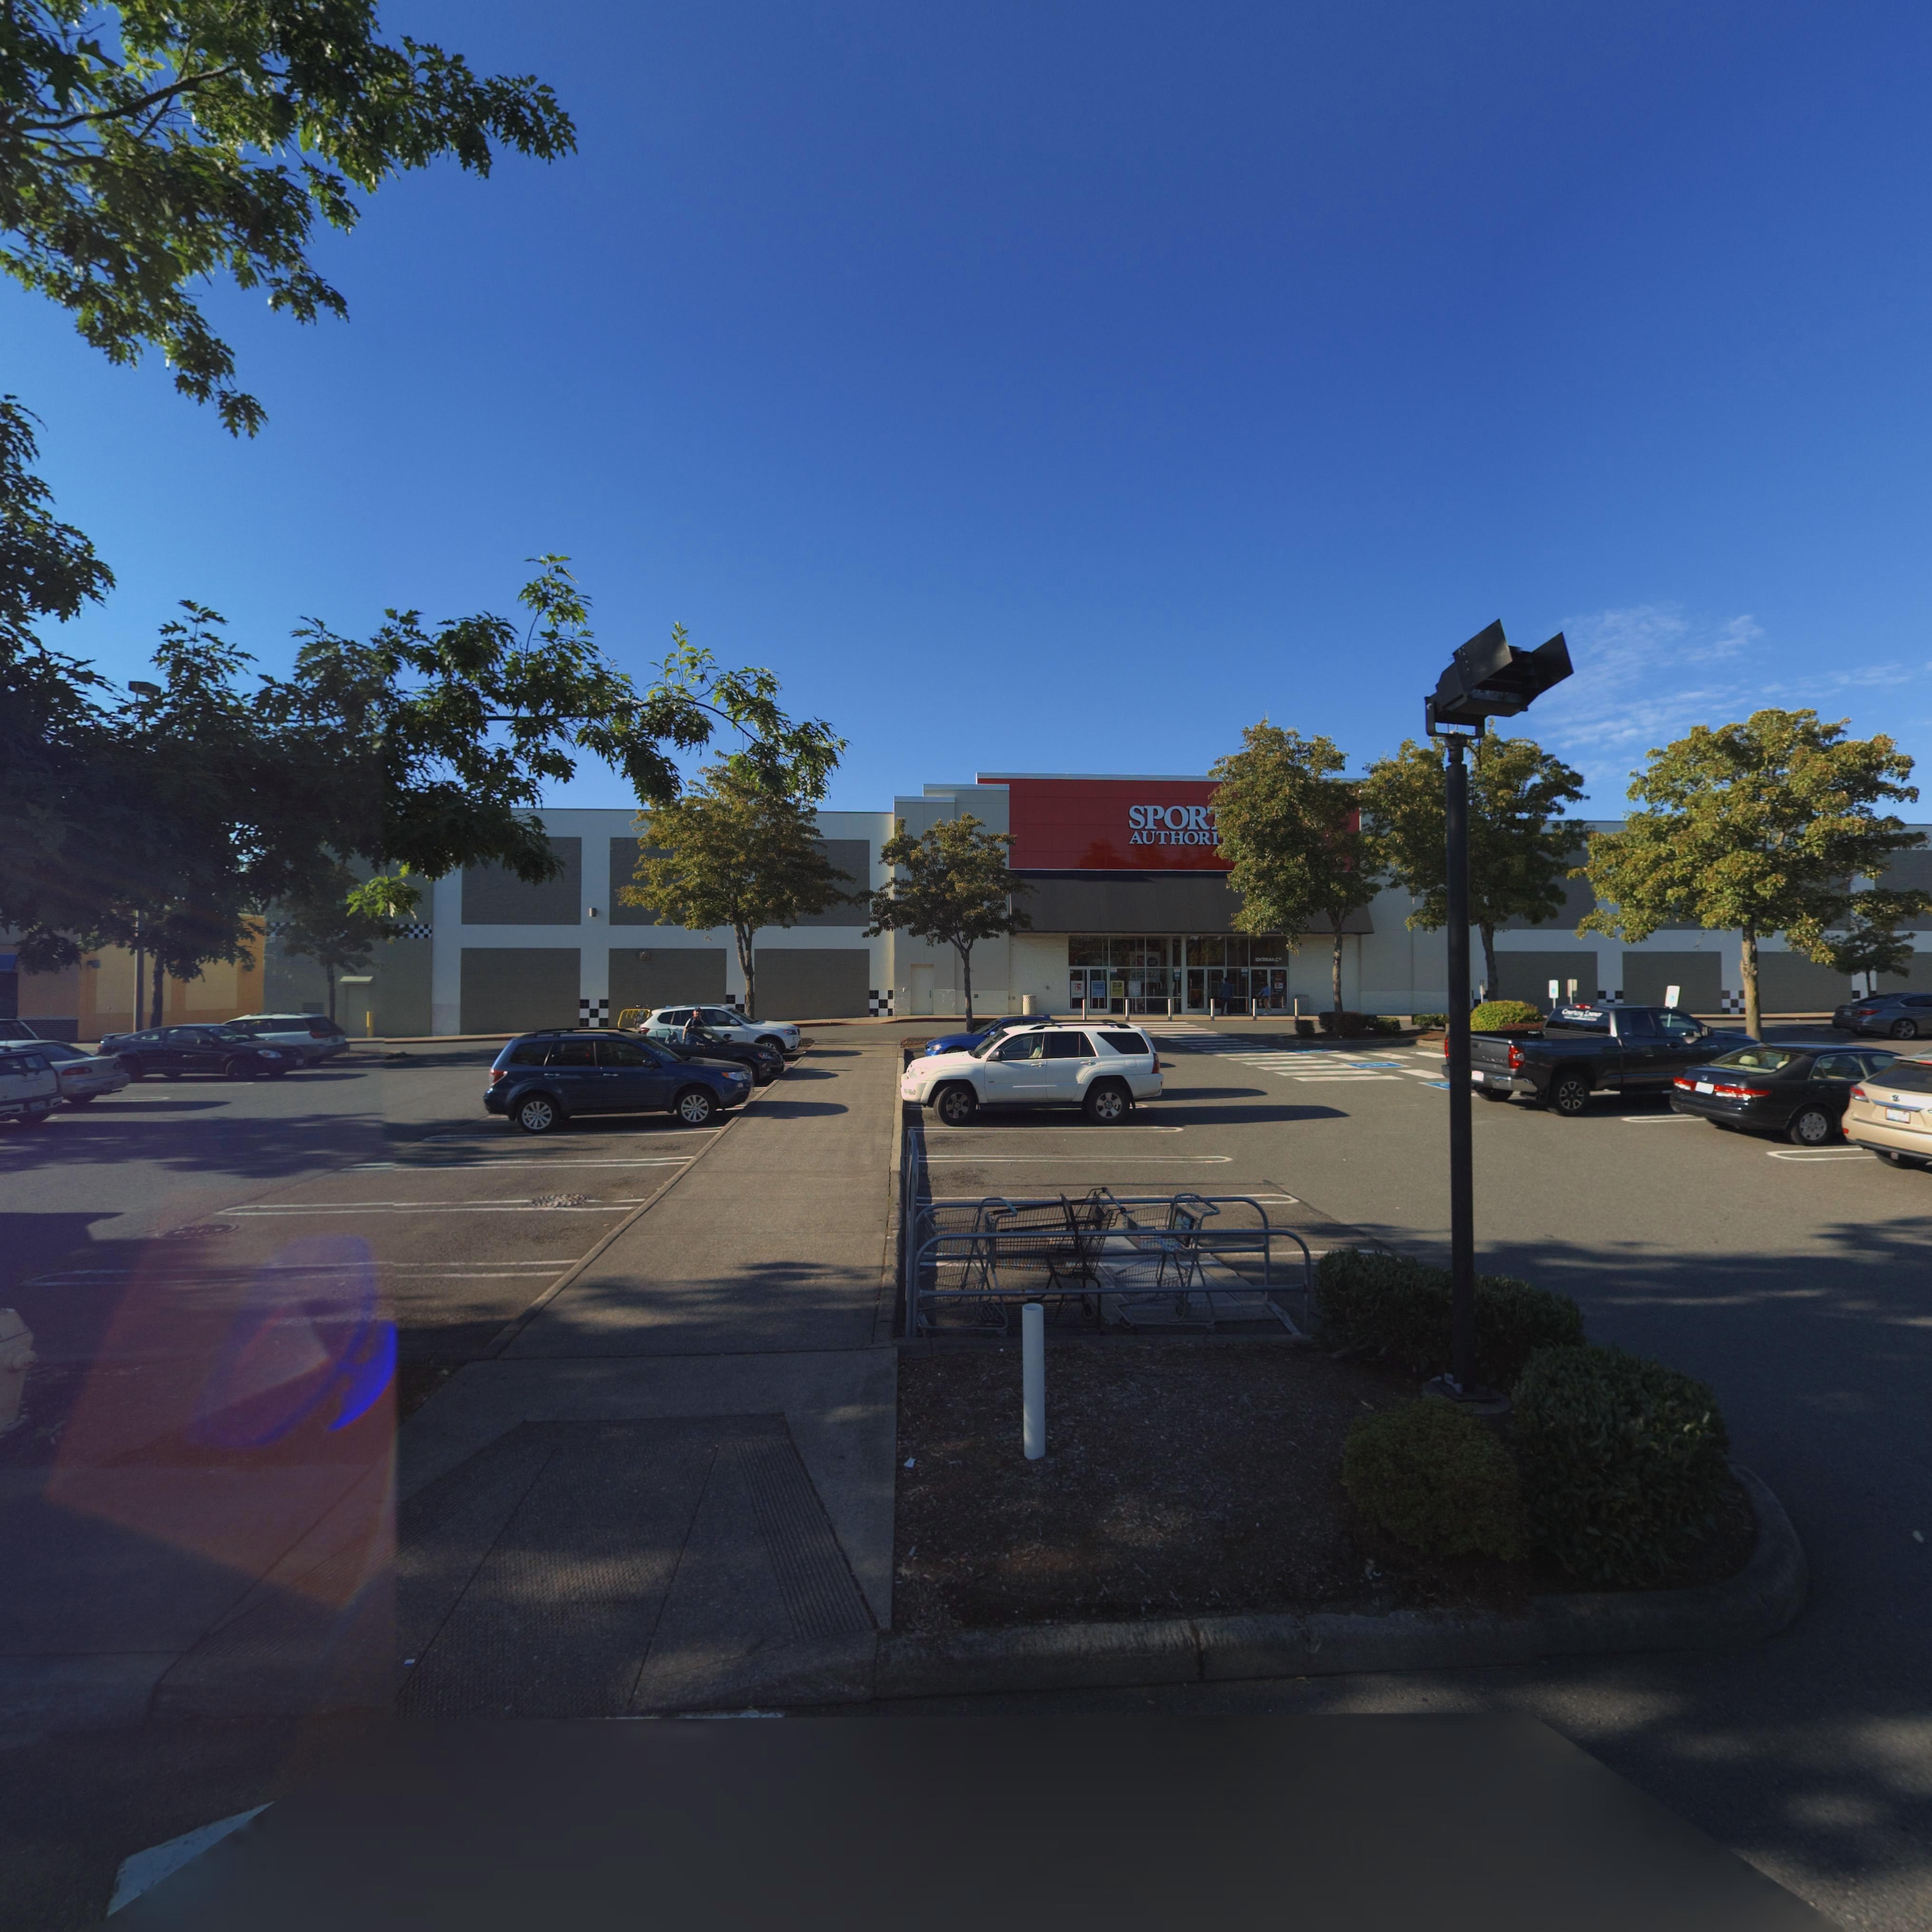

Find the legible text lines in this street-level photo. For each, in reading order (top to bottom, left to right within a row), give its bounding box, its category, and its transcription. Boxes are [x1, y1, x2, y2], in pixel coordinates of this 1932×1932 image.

[1128, 804, 1224, 830] BusinessName: SPOR*
[1127, 830, 1228, 846] BusinessName: AUTHOR*